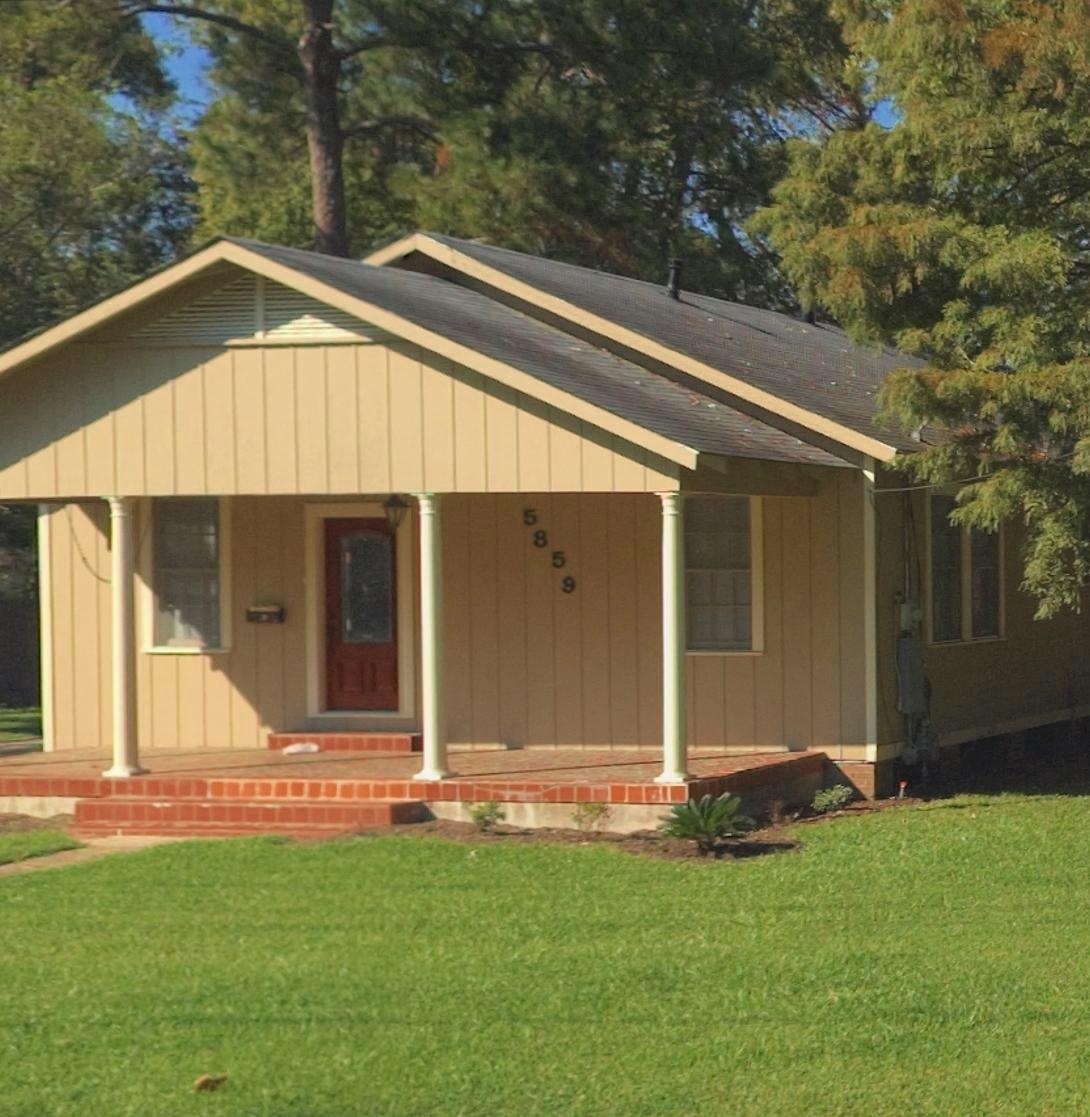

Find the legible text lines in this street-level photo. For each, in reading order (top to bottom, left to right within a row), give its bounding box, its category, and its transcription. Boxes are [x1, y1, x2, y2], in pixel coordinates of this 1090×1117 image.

[521, 506, 577, 595] StreetNumber: 5859